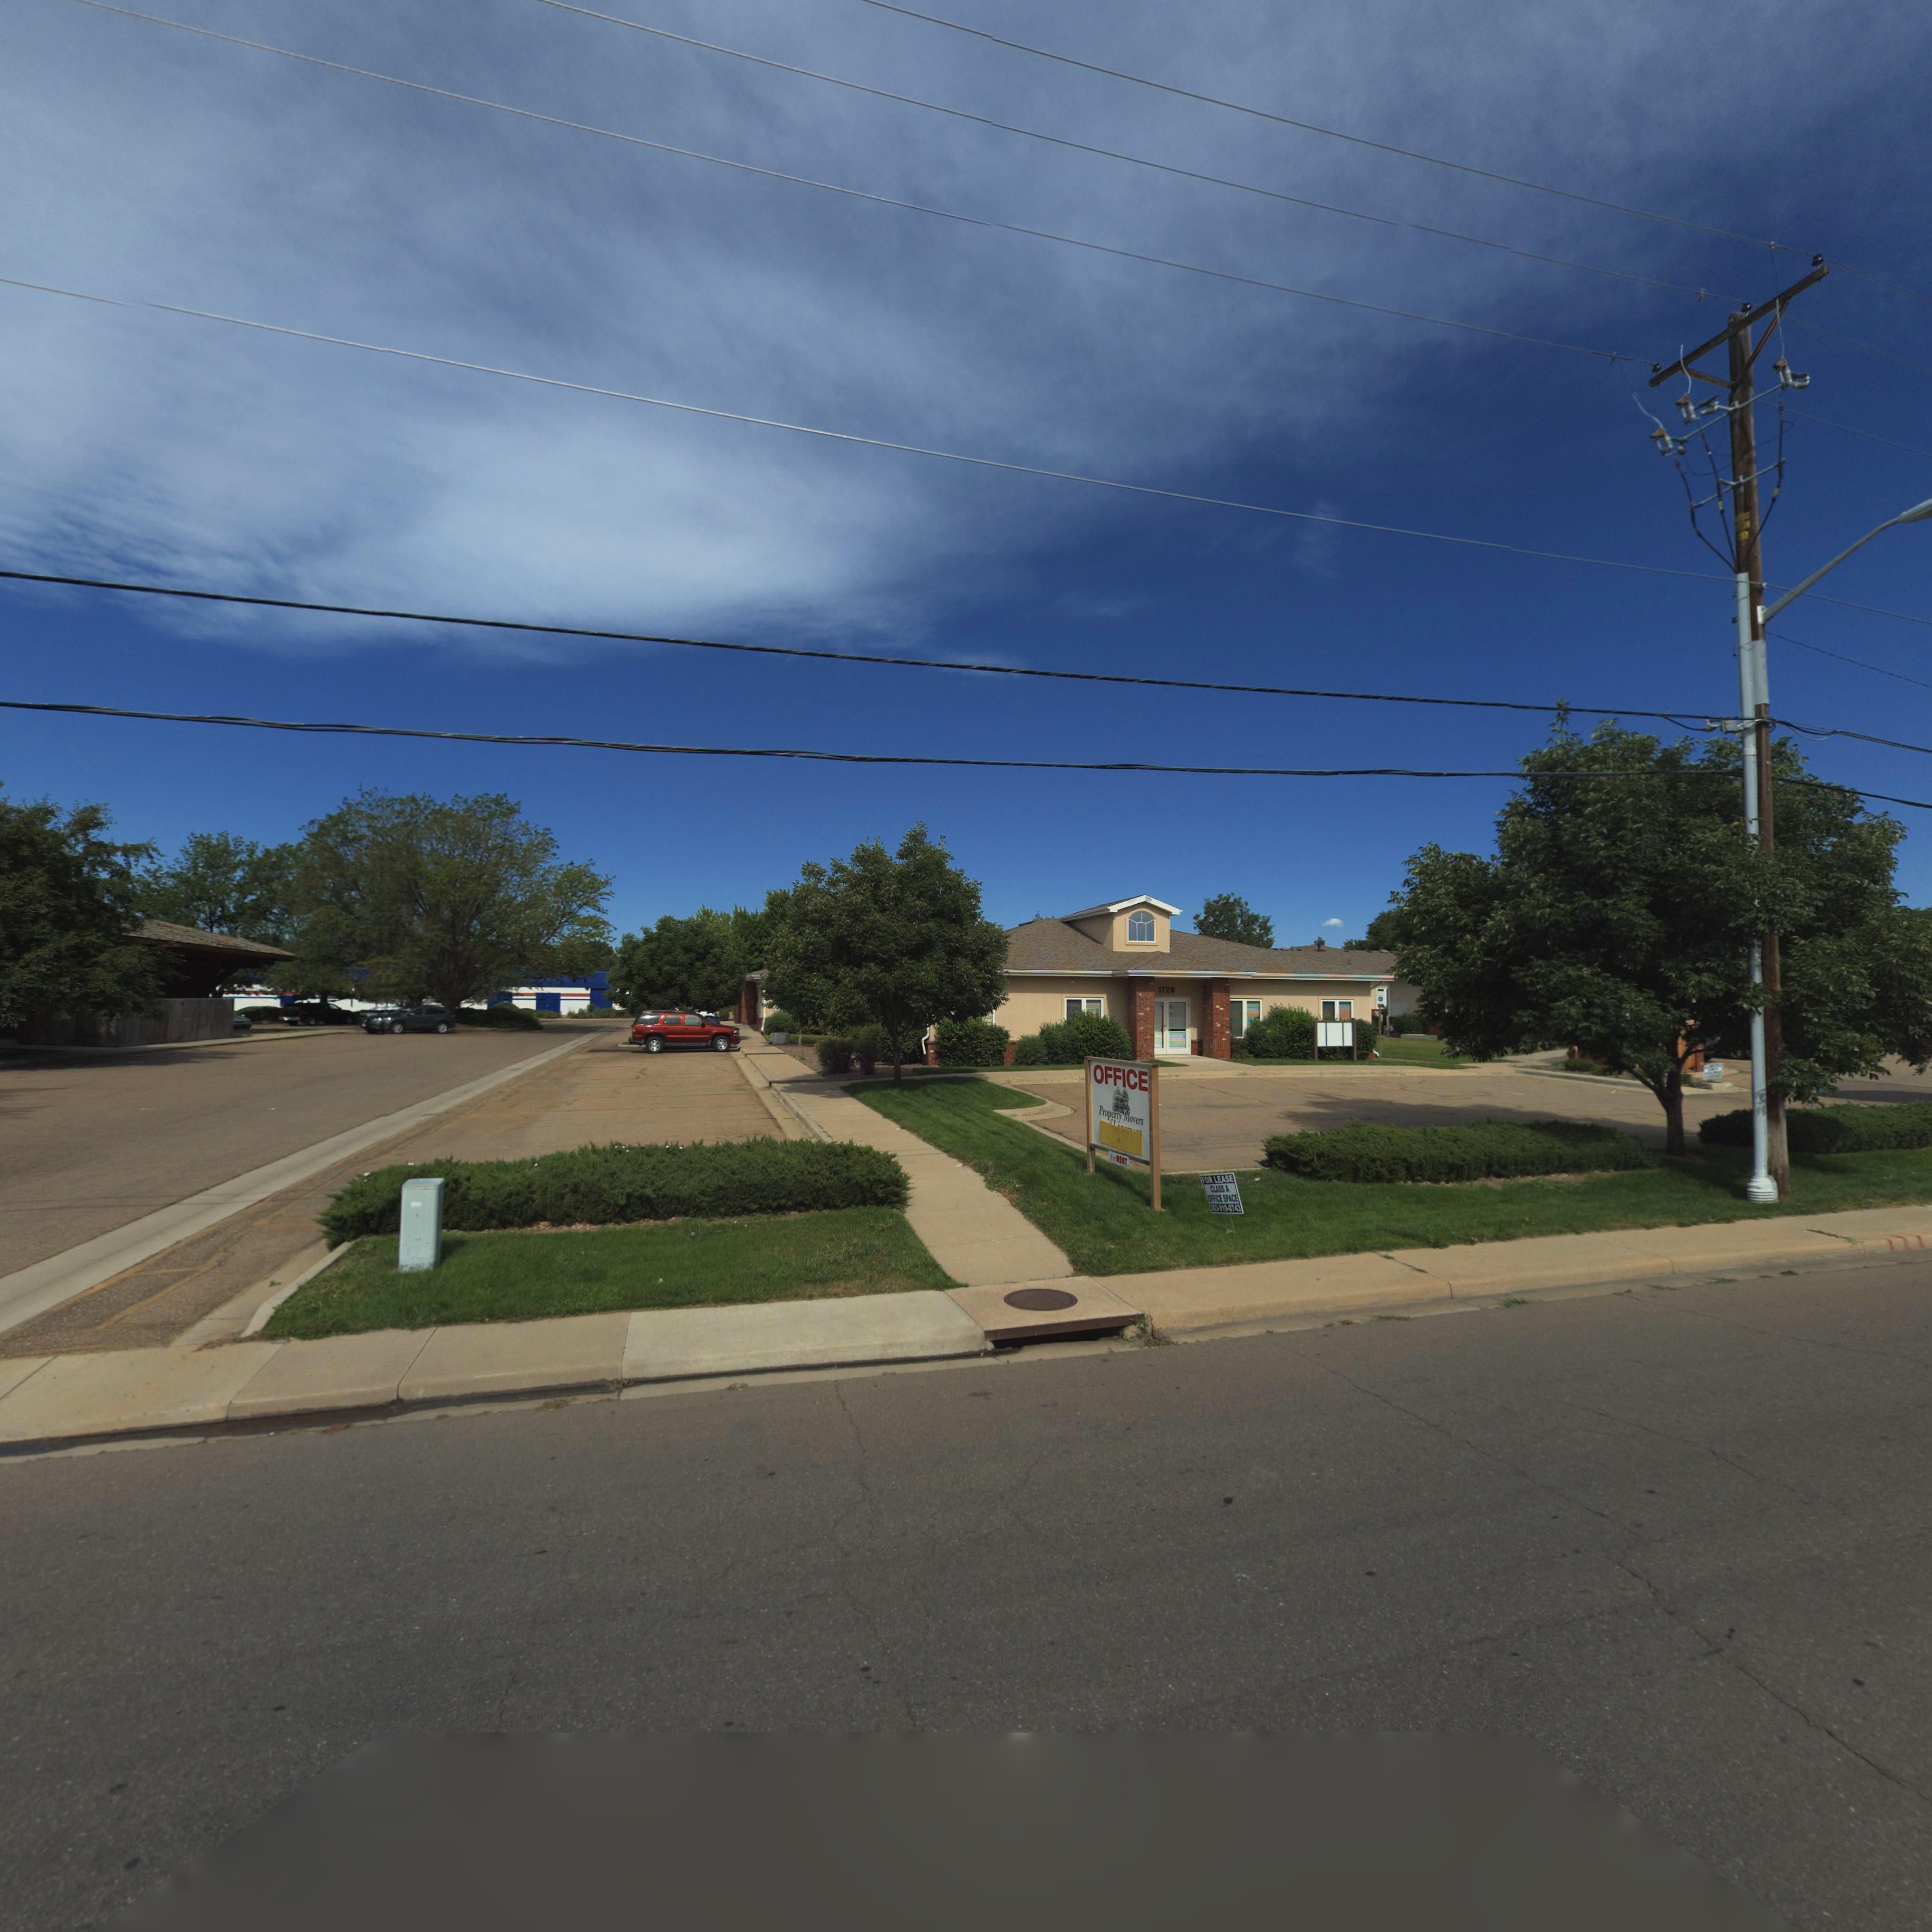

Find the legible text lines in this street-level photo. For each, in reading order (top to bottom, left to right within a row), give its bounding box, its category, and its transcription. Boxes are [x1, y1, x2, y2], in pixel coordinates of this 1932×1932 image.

[1158, 986, 1175, 993] StreetNumber: 1729